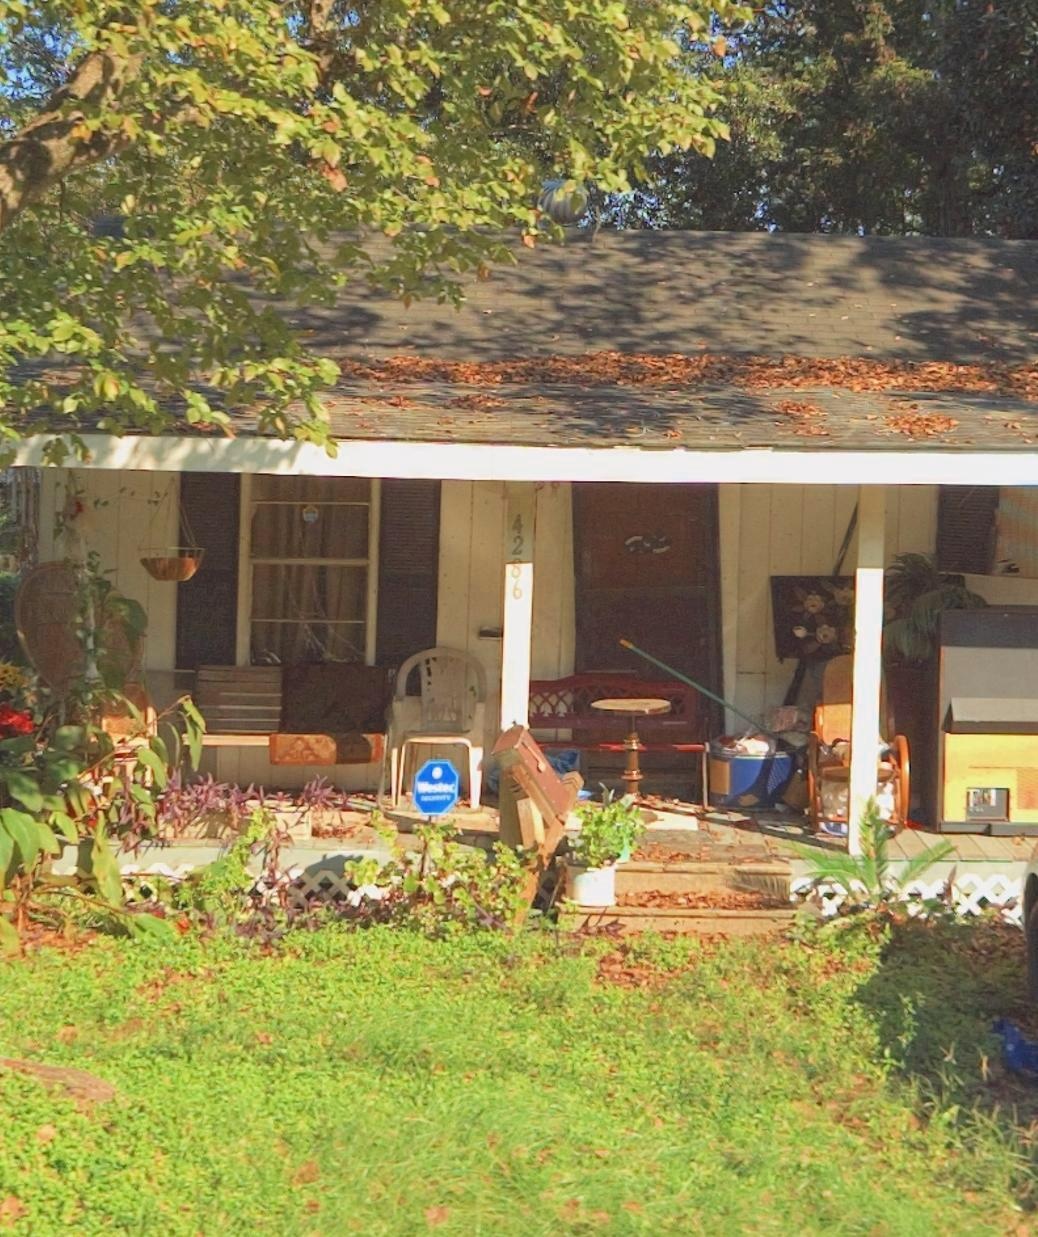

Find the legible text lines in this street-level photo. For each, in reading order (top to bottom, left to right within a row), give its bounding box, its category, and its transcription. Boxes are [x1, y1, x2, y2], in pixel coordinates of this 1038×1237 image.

[511, 512, 524, 601] StreetNumber: 4286
[416, 780, 456, 794] None: Westec